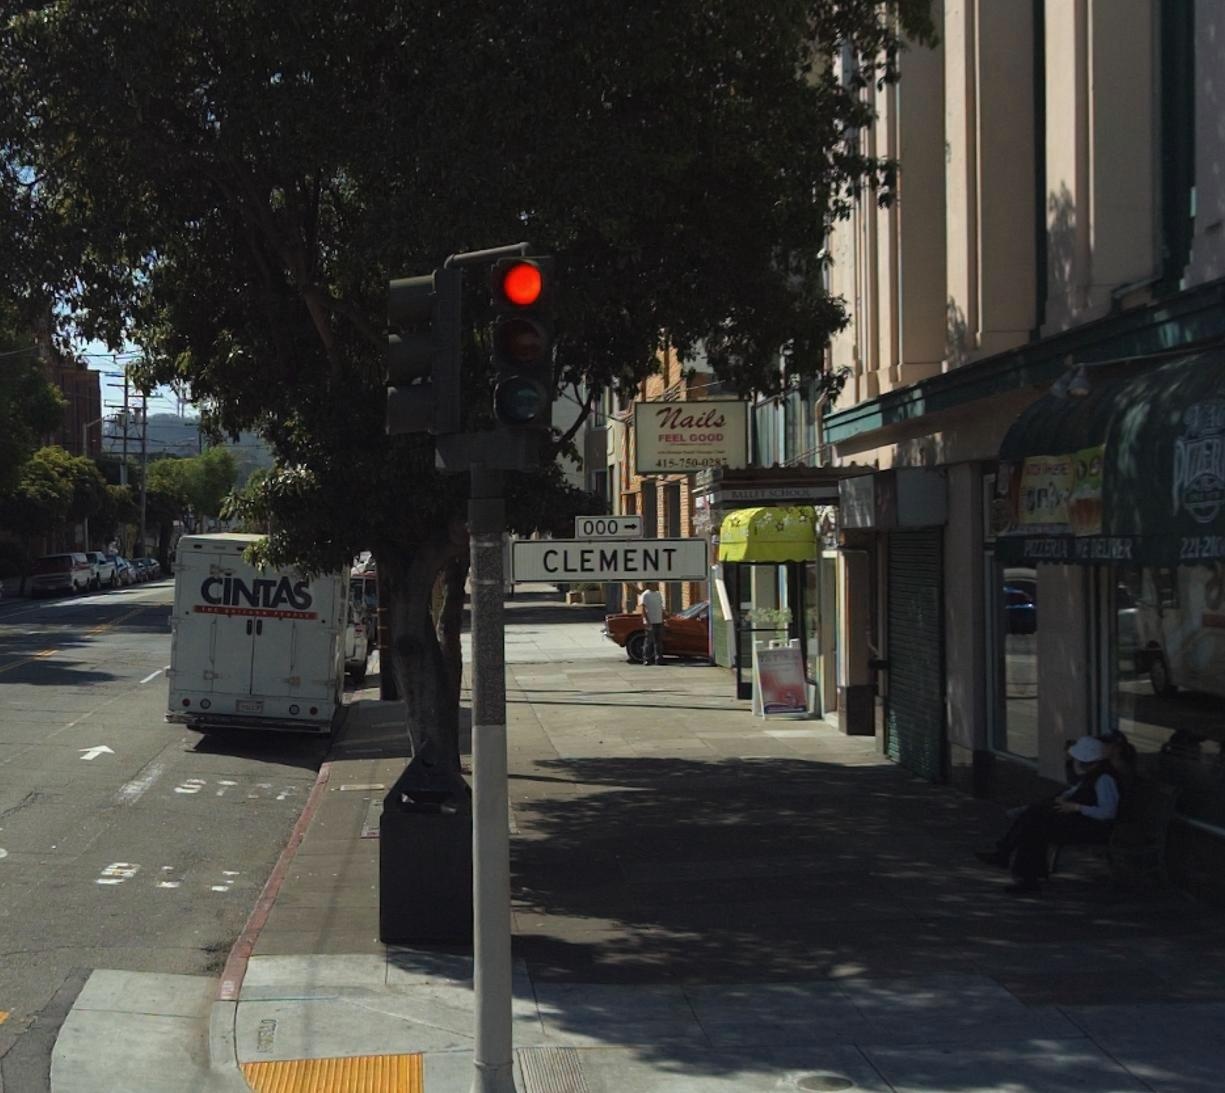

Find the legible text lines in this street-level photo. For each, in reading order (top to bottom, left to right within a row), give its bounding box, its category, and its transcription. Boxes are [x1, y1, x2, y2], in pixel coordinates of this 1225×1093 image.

[653, 406, 726, 429] BusinessName: nails
[657, 433, 723, 442] None: FEEL GOOD
[654, 456, 728, 470] None: 415-750-028*
[1168, 436, 1225, 520] None: PIZZER
[731, 488, 809, 498] None: BALLET SCHOOL
[578, 518, 641, 535] StreetNumberRange: 000->
[540, 545, 679, 575] StreetName: CLEMENT
[1020, 538, 1131, 559] None: PIZZERIA WE DELIVER
[1176, 533, 1223, 559] None: 221-210
[198, 571, 312, 607] None: ciNTAs
[170, 771, 306, 808] None: ST*P